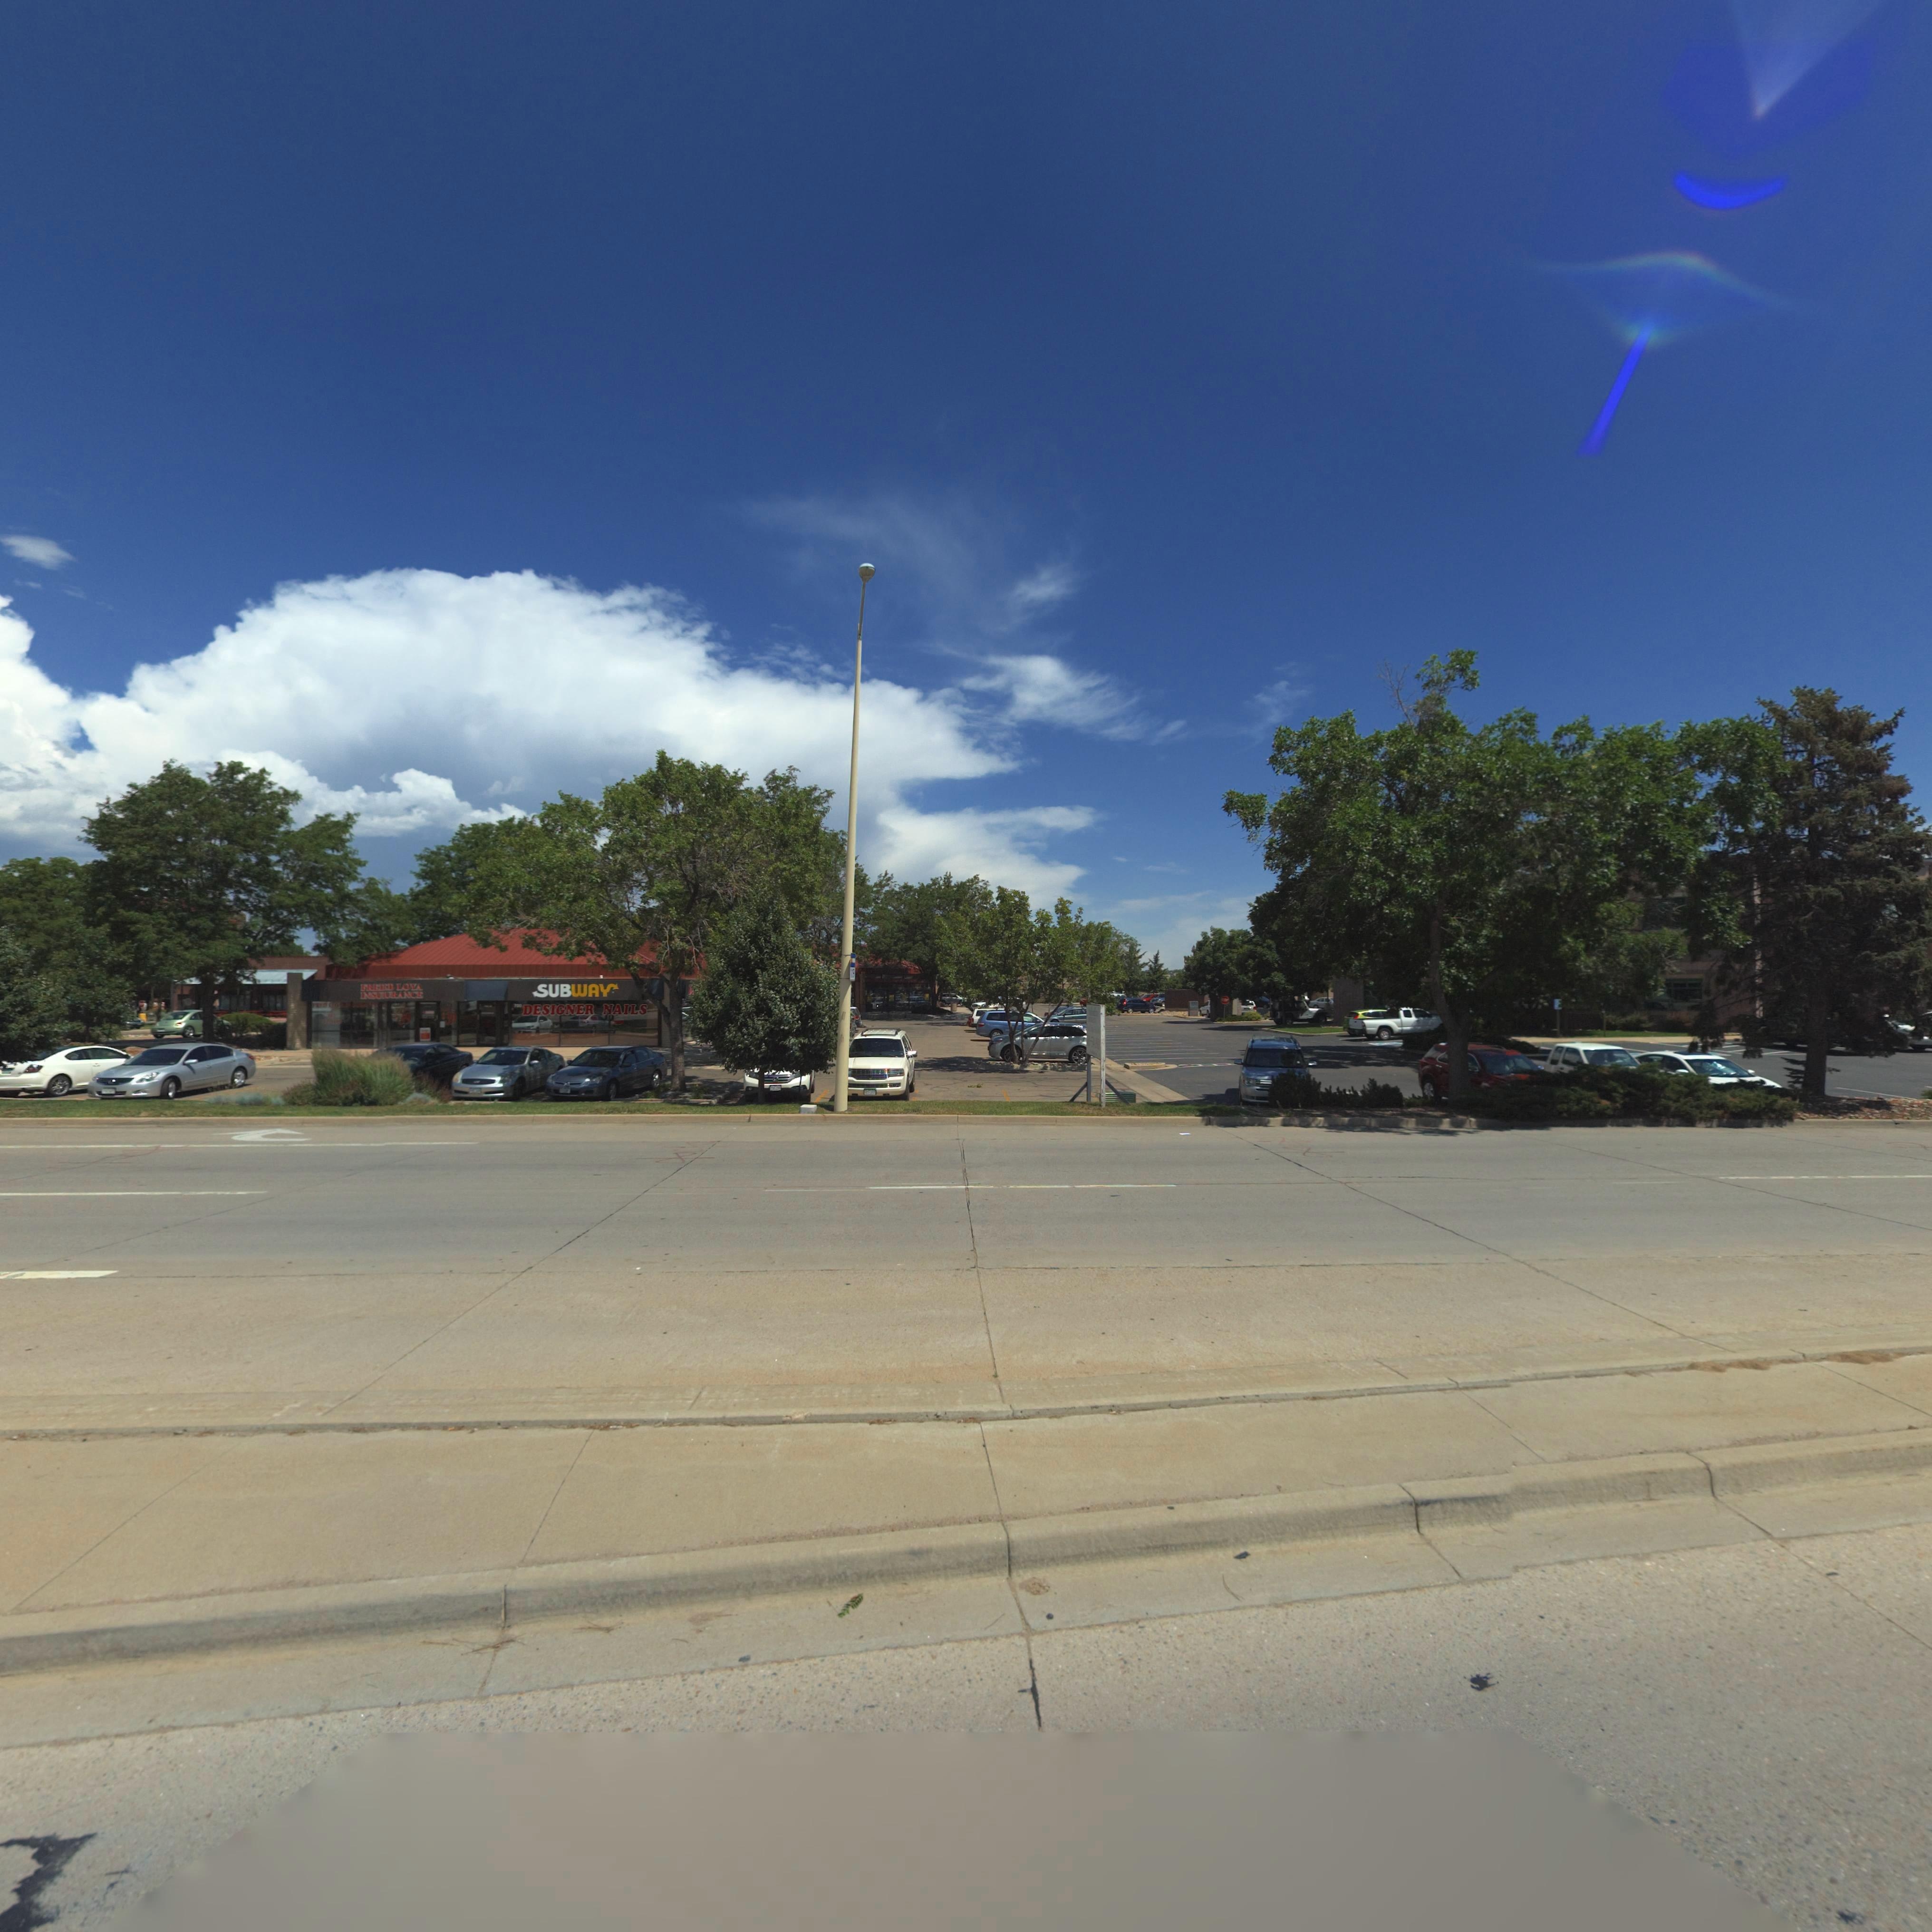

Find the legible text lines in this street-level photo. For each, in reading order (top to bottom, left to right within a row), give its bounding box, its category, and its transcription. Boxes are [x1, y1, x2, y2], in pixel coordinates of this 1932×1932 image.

[360, 983, 422, 991] BusinessName: FRED LOYA
[531, 983, 620, 998] BusinessName: SUBWAY
[360, 991, 423, 999] BusinessName: INSURANCE